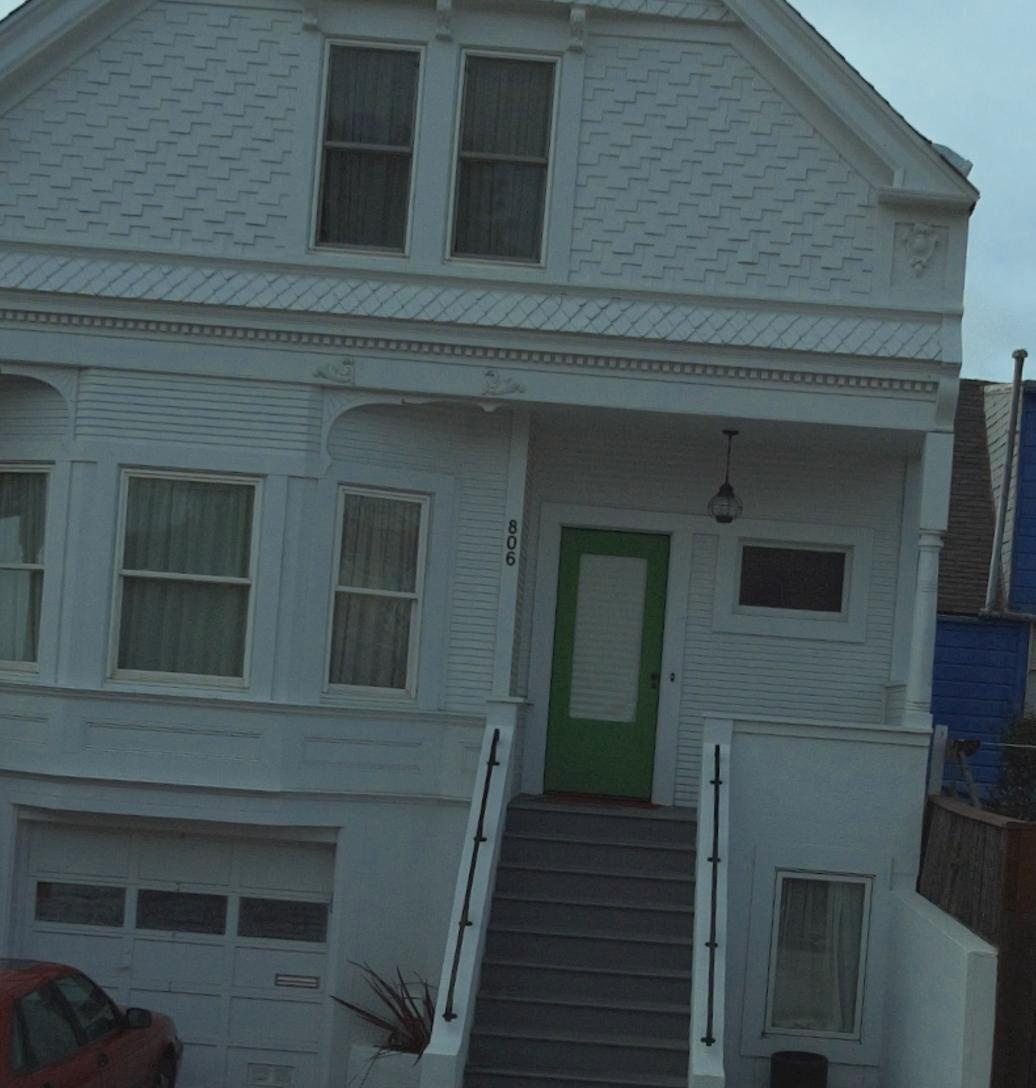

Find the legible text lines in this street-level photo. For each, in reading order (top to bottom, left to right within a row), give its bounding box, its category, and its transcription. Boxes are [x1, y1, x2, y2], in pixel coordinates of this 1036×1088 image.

[504, 519, 519, 567] StreetNumber: 806